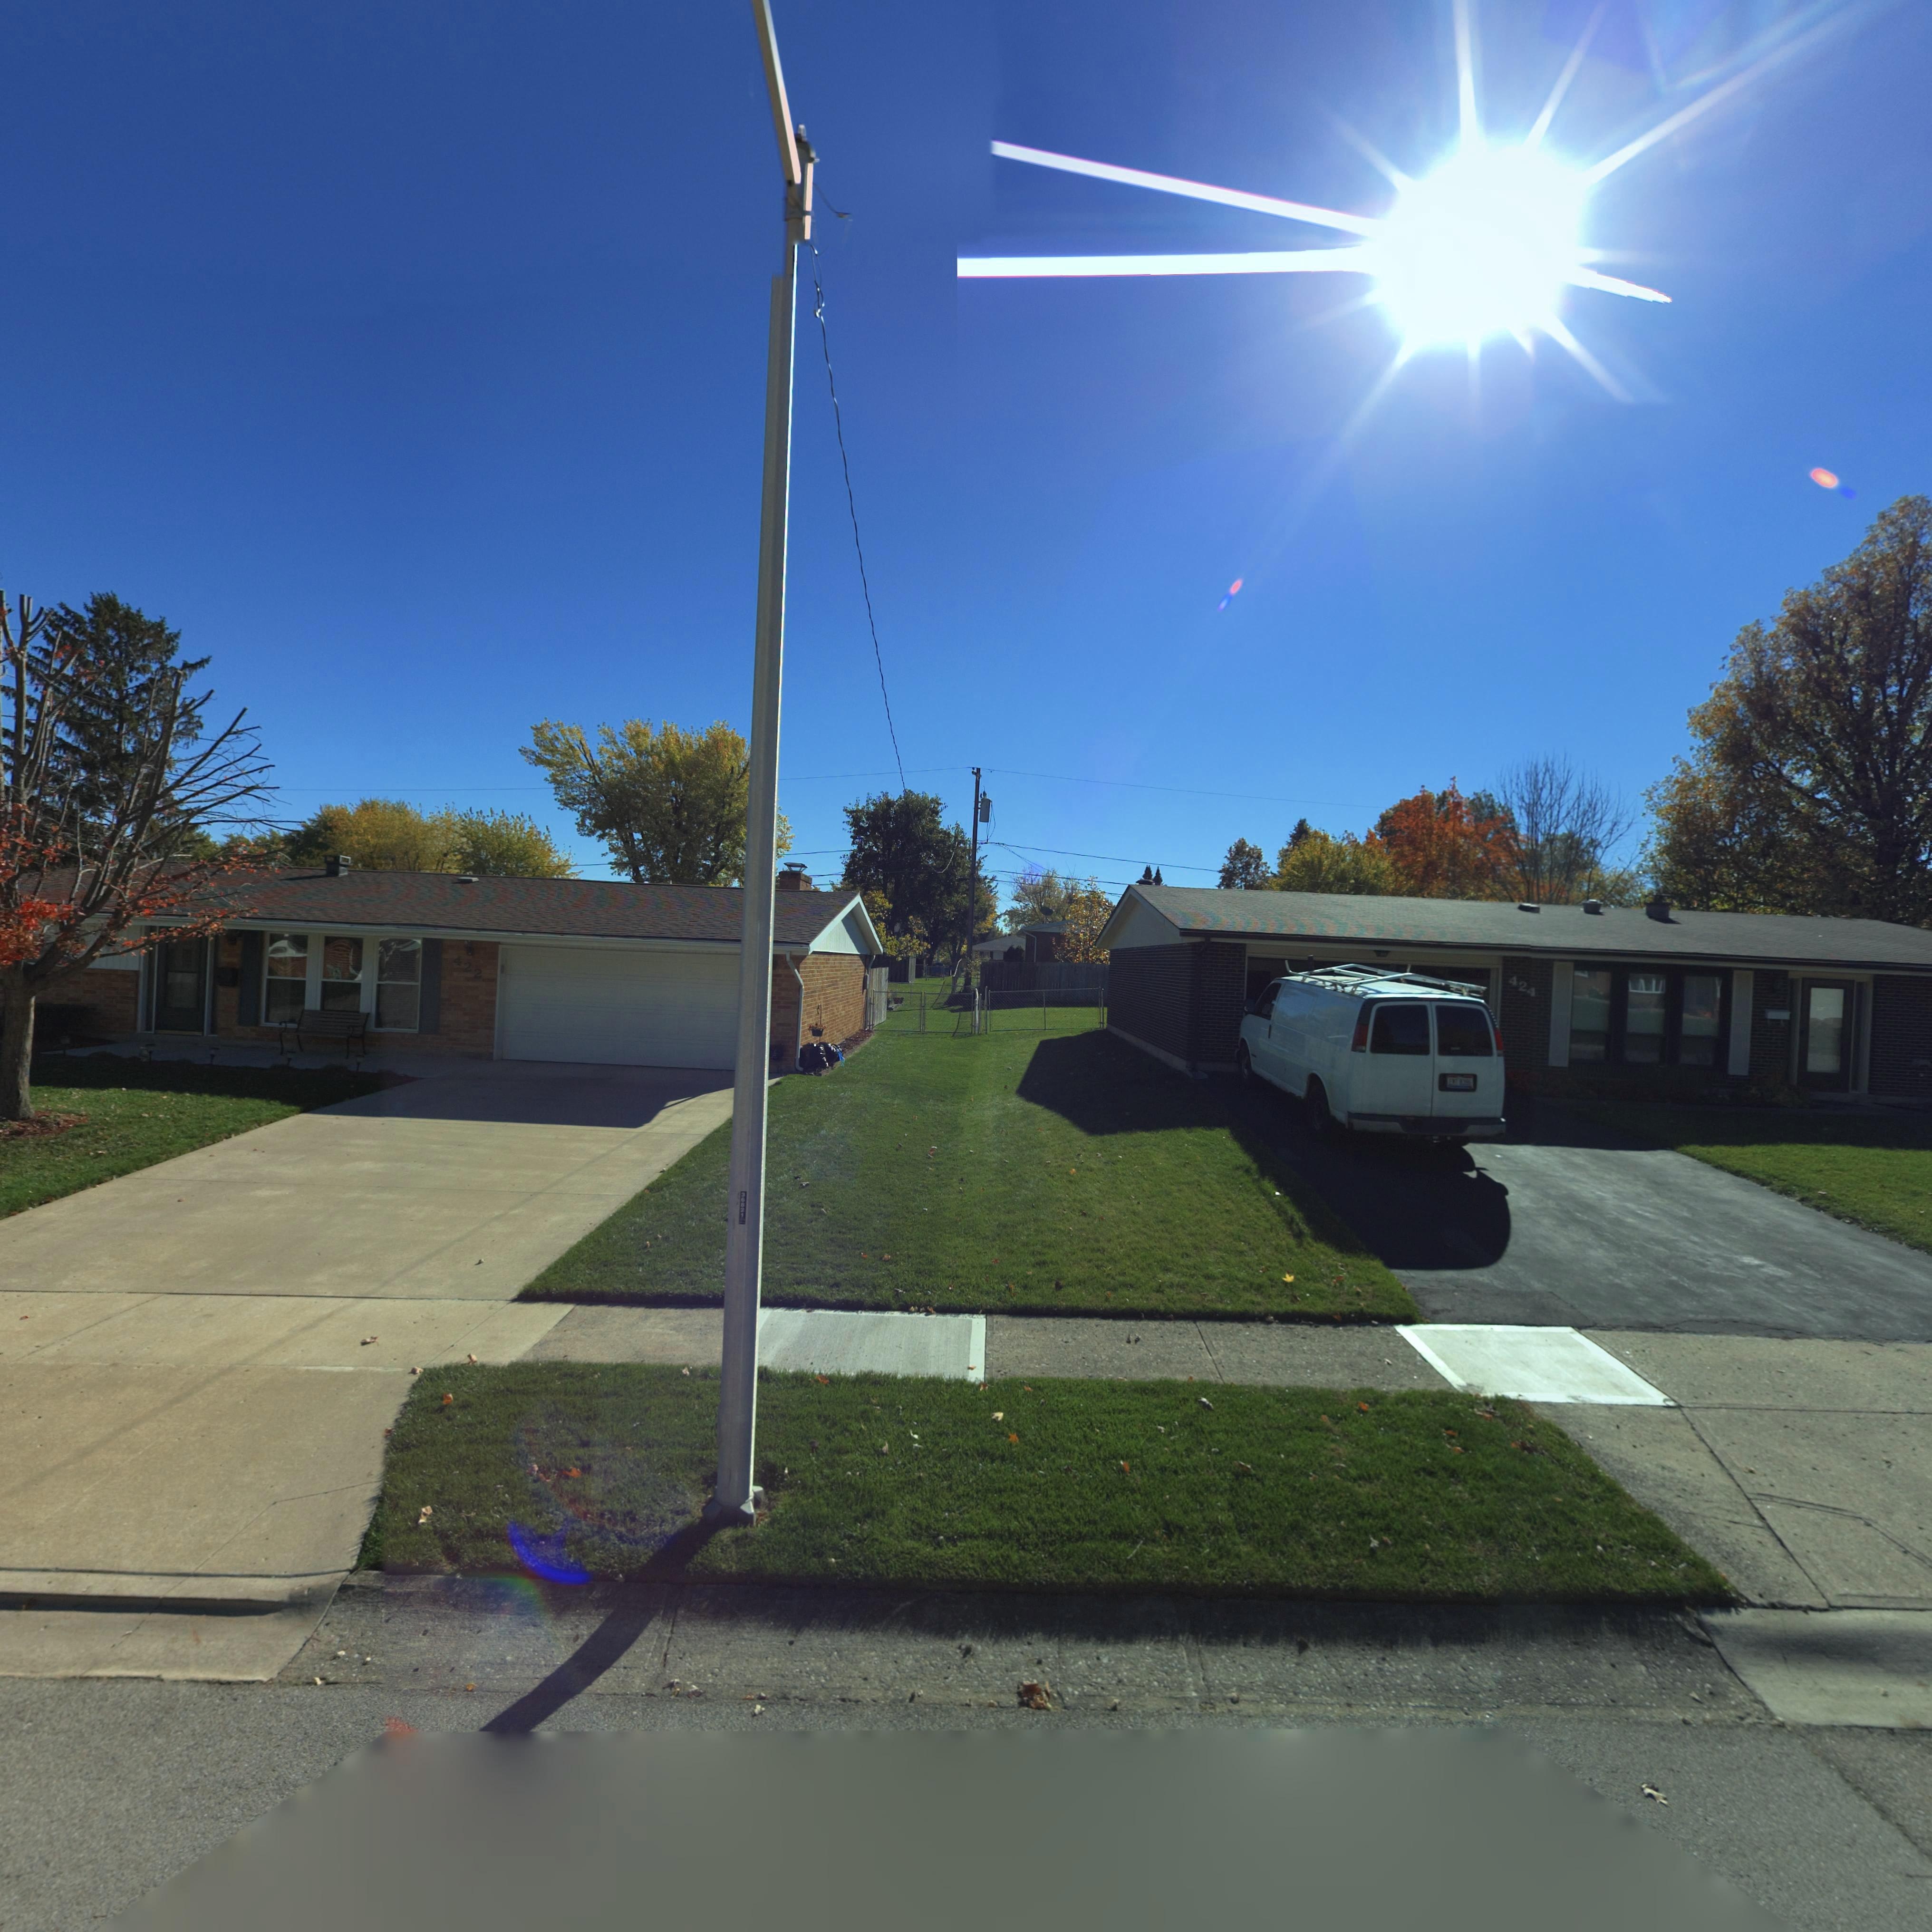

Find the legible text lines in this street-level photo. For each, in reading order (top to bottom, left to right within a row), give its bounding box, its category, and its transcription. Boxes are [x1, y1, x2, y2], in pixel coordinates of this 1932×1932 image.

[452, 955, 484, 980] StreetNumber: 422
[1507, 975, 1536, 998] StreetNumber: 424